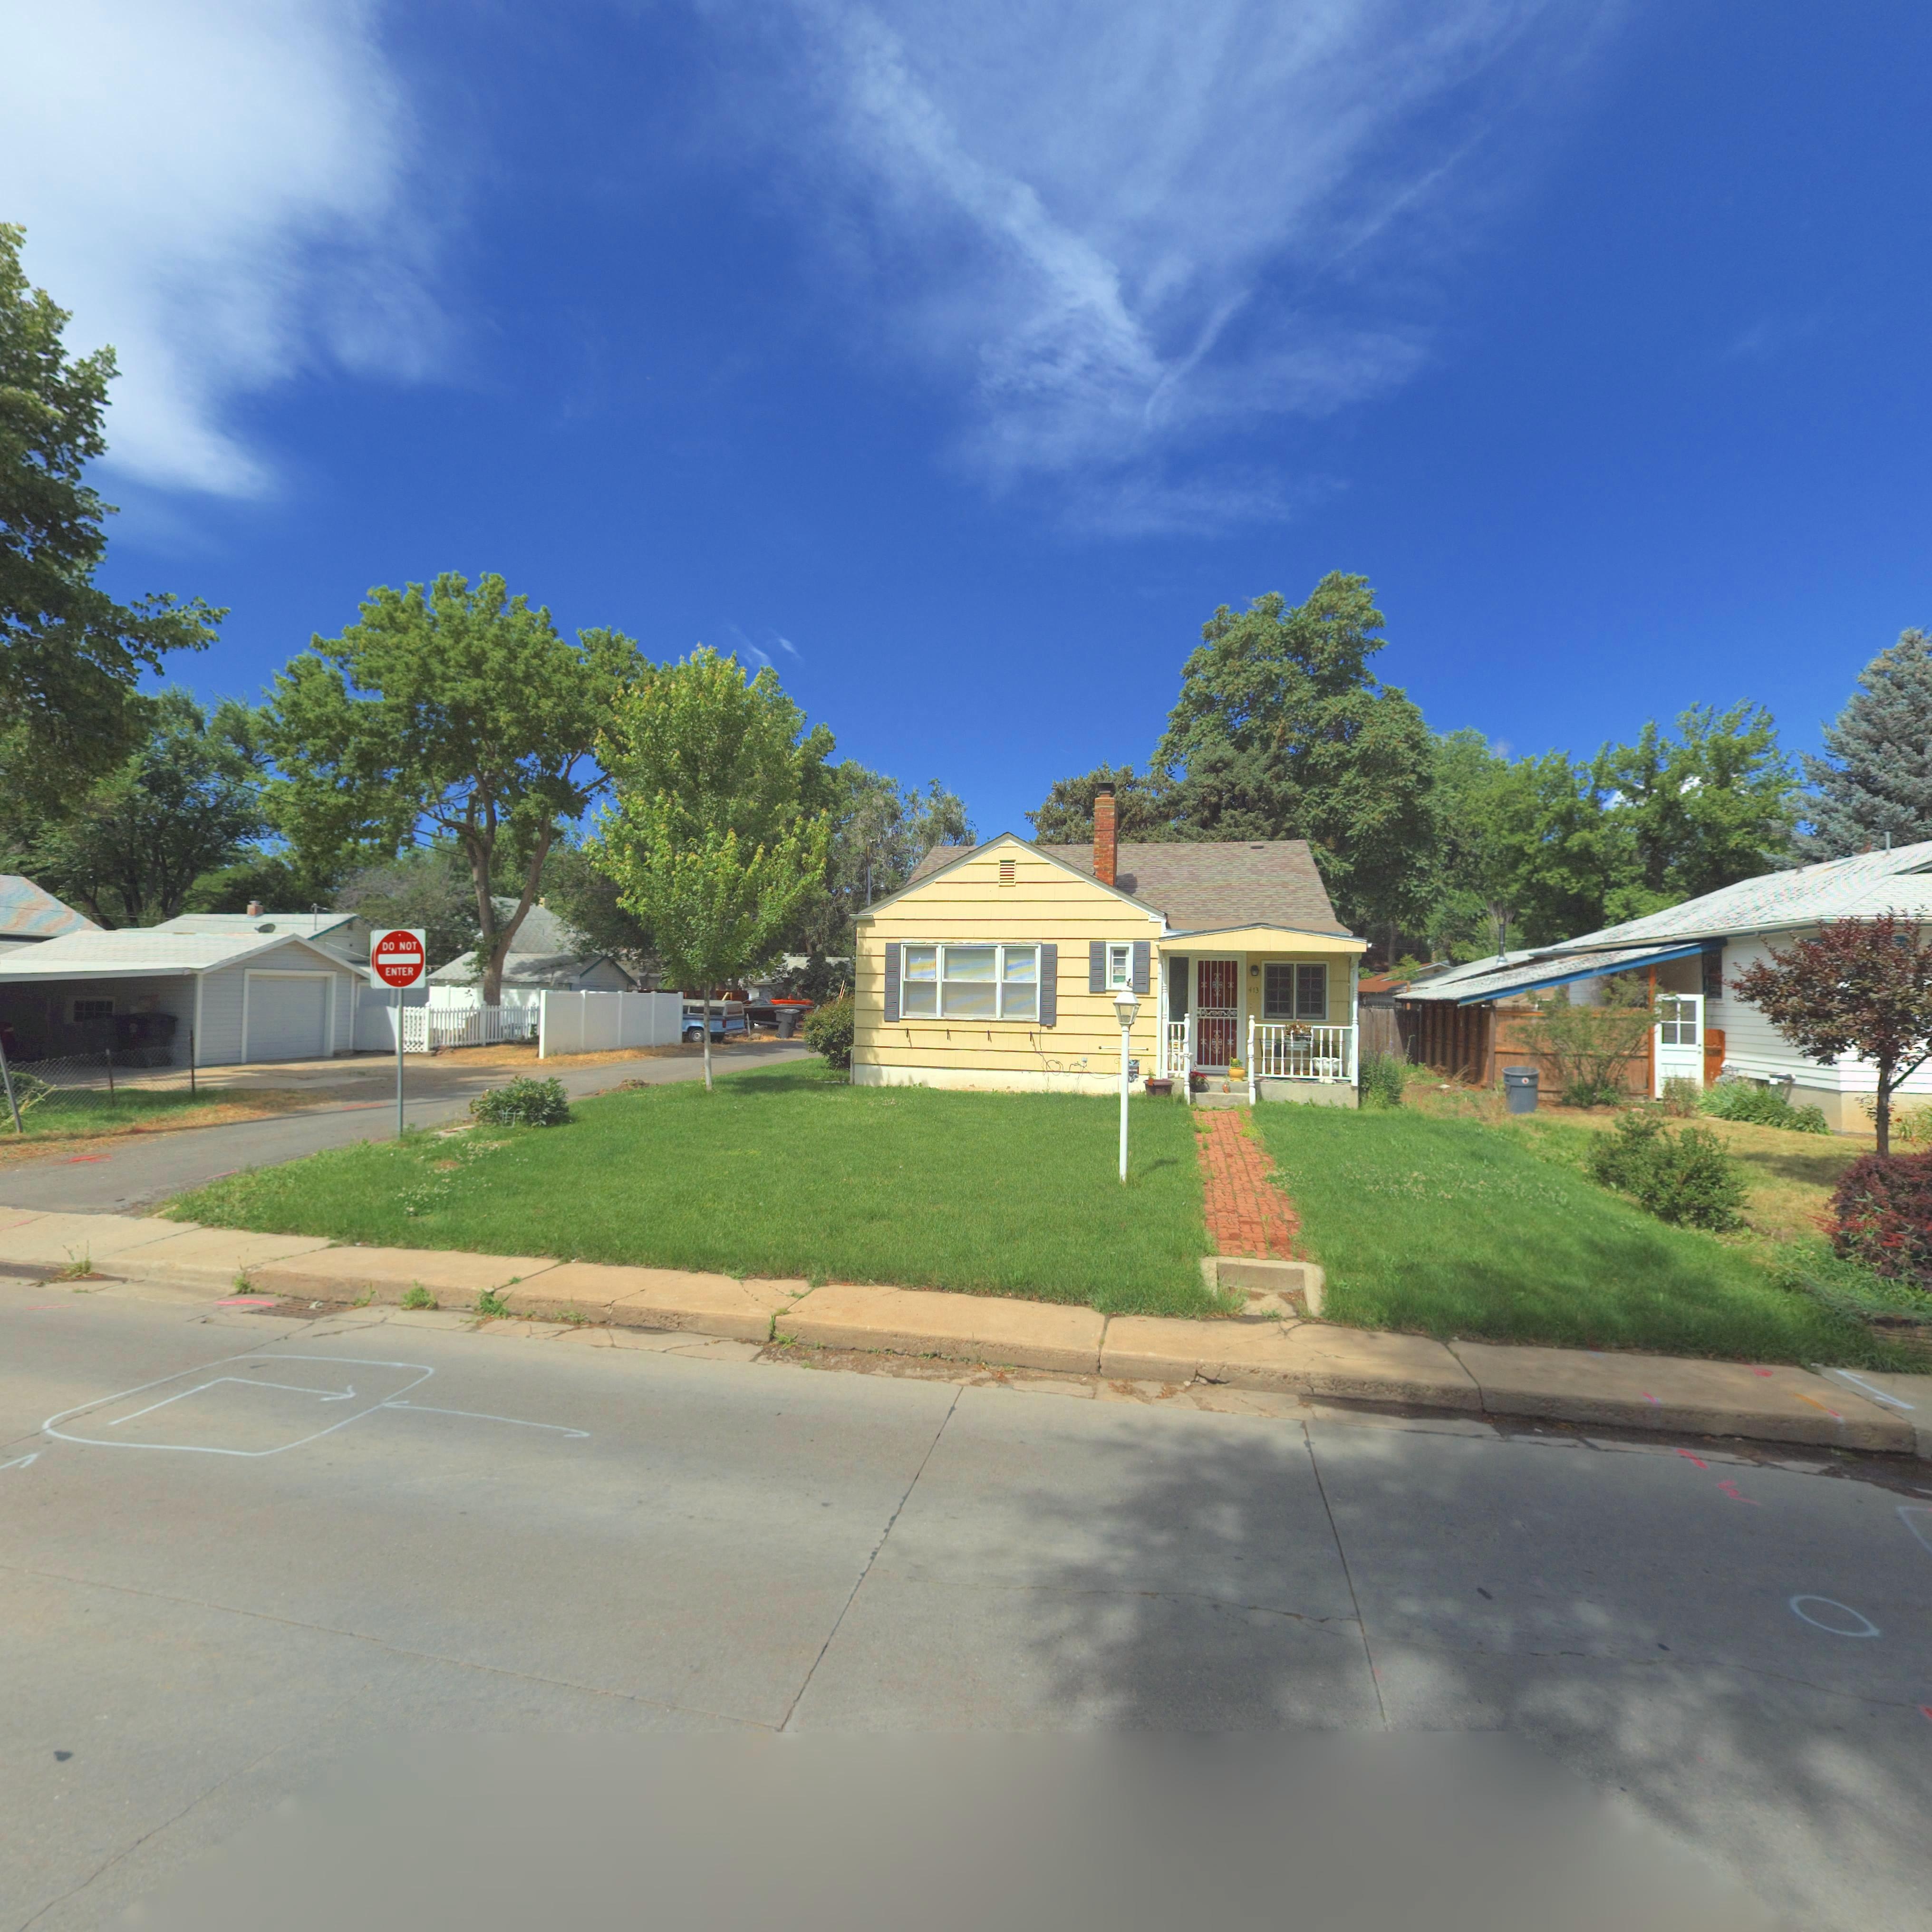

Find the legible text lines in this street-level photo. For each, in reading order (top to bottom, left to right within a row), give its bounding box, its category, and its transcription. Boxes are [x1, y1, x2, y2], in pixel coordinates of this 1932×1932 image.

[1247, 986, 1259, 993] StreetNumber: 413